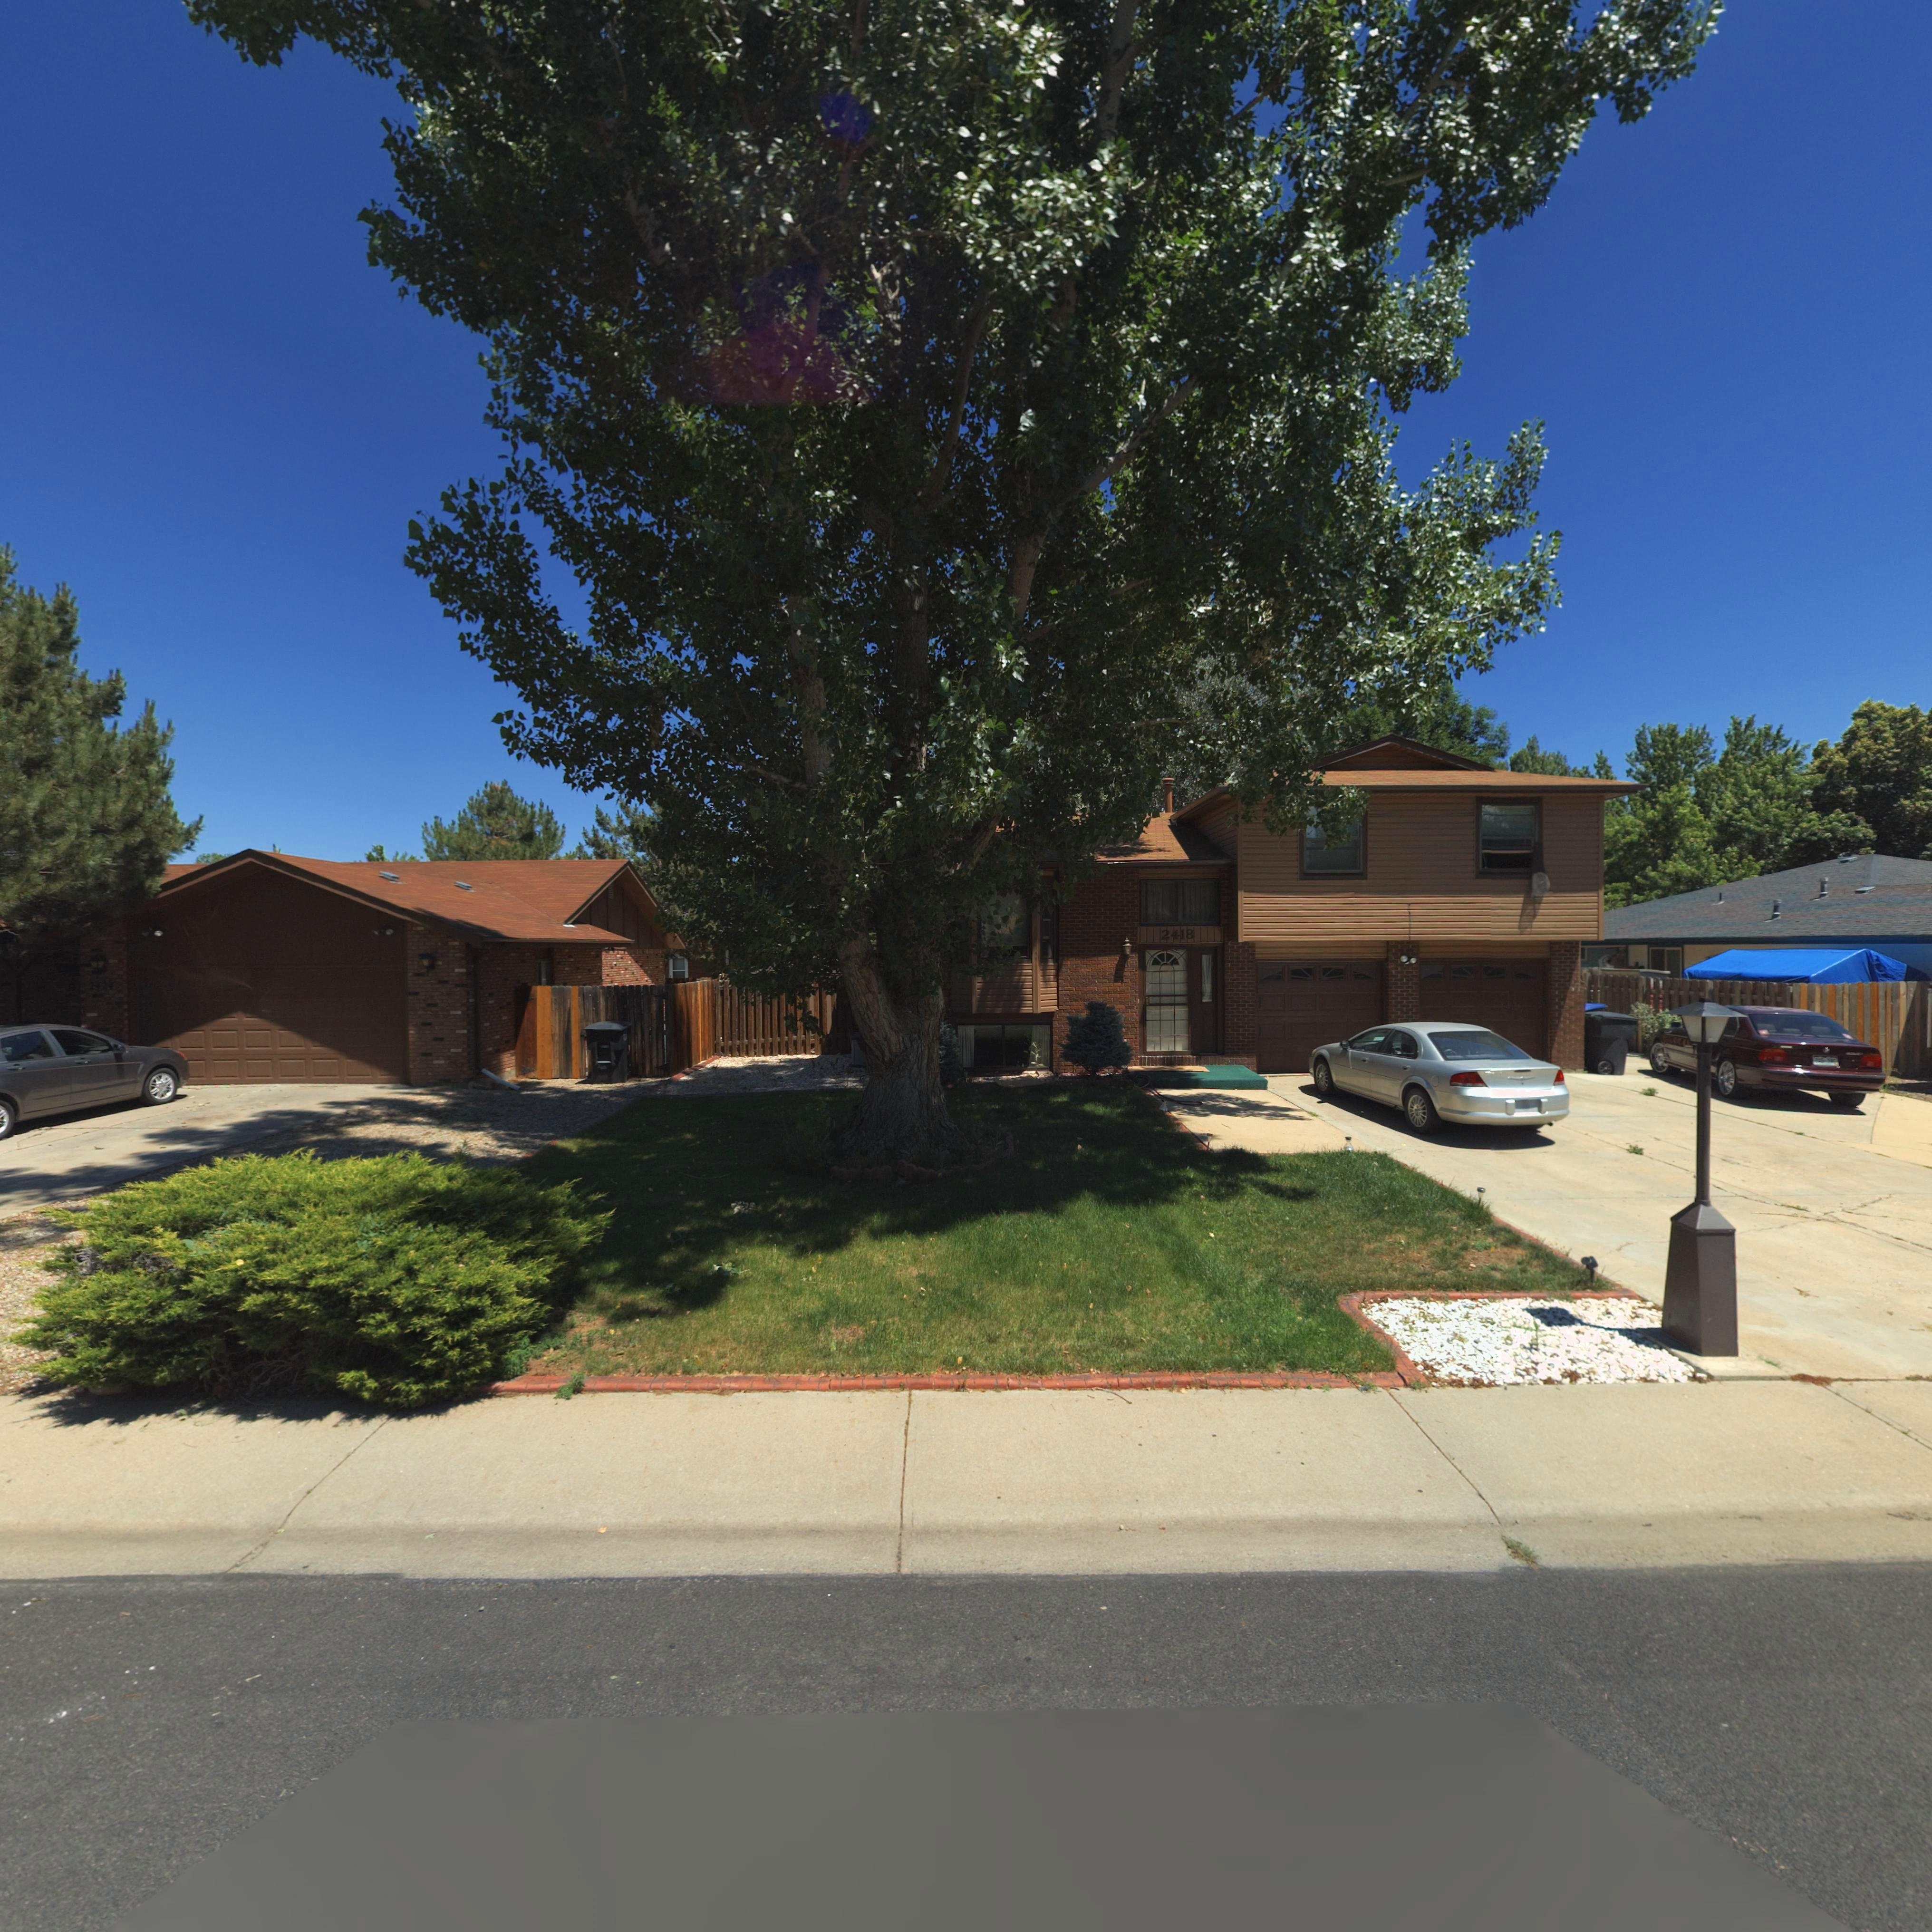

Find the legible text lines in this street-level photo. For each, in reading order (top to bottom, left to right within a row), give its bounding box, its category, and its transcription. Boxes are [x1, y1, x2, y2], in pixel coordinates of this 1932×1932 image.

[1162, 928, 1194, 940] StreetNumber: 2418